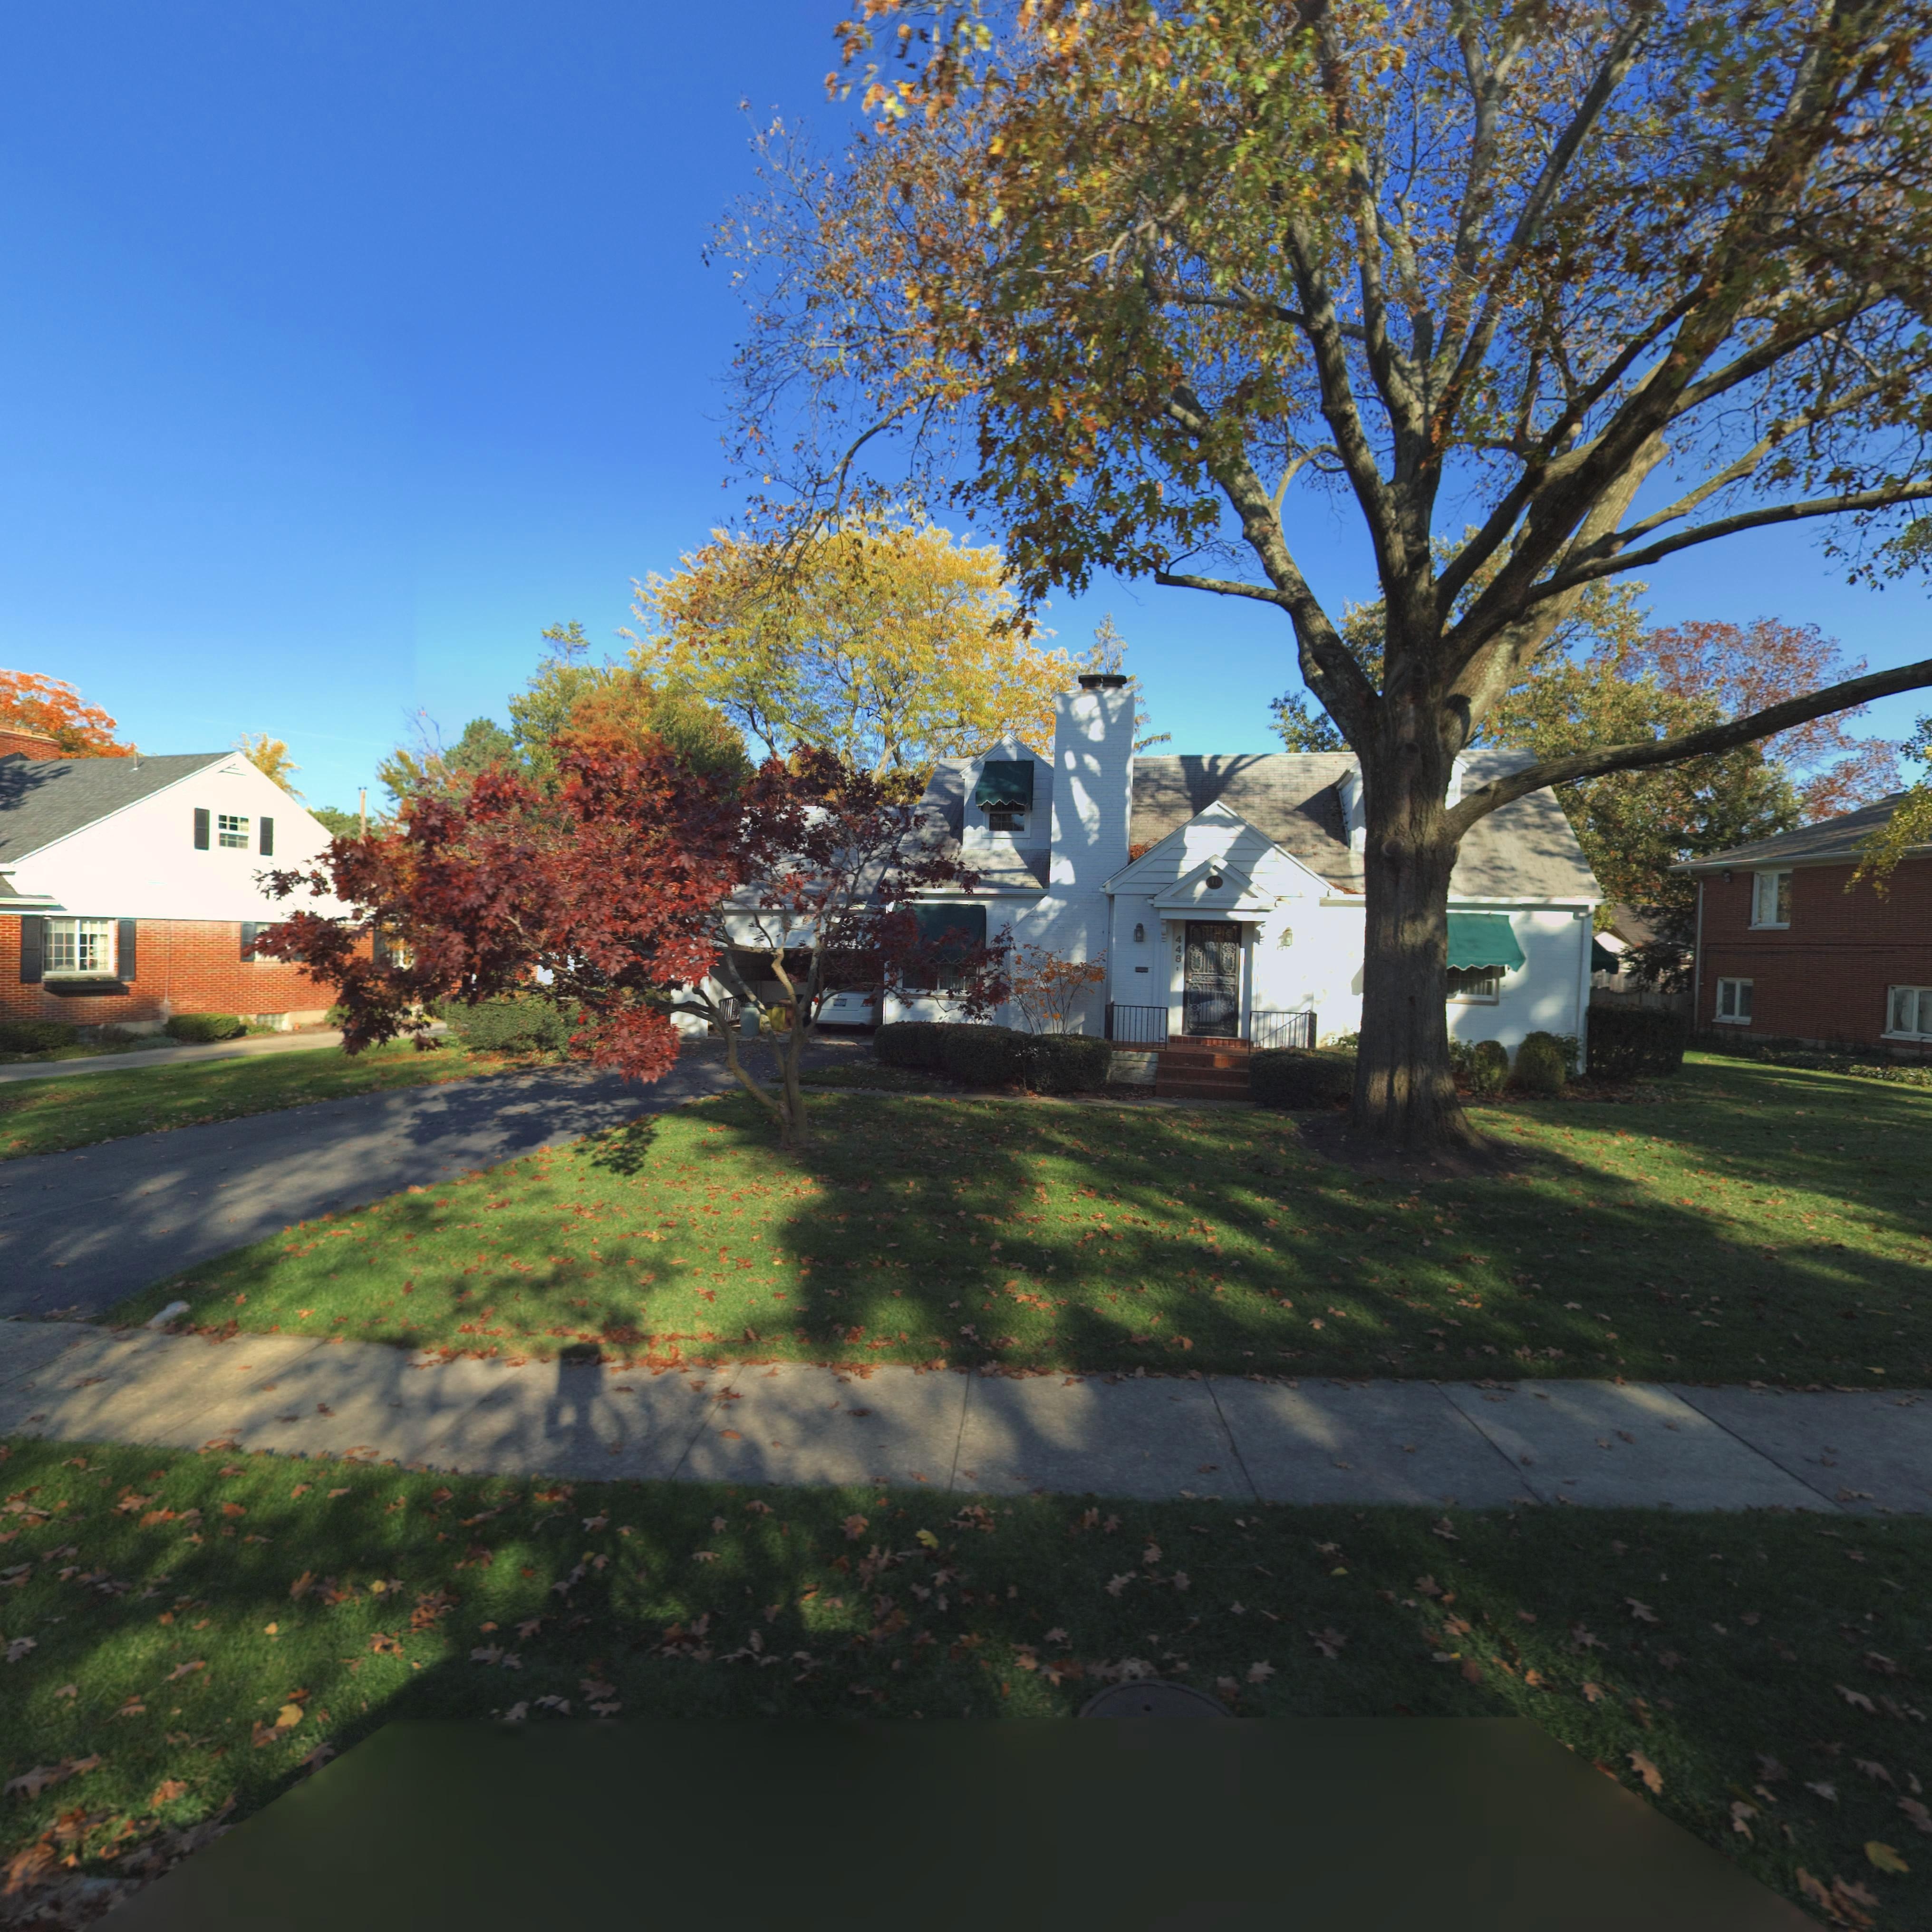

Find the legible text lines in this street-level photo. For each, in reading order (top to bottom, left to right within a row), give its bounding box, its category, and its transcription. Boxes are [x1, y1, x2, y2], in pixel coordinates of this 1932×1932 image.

[1175, 935, 1182, 963] StreetNumber: 448